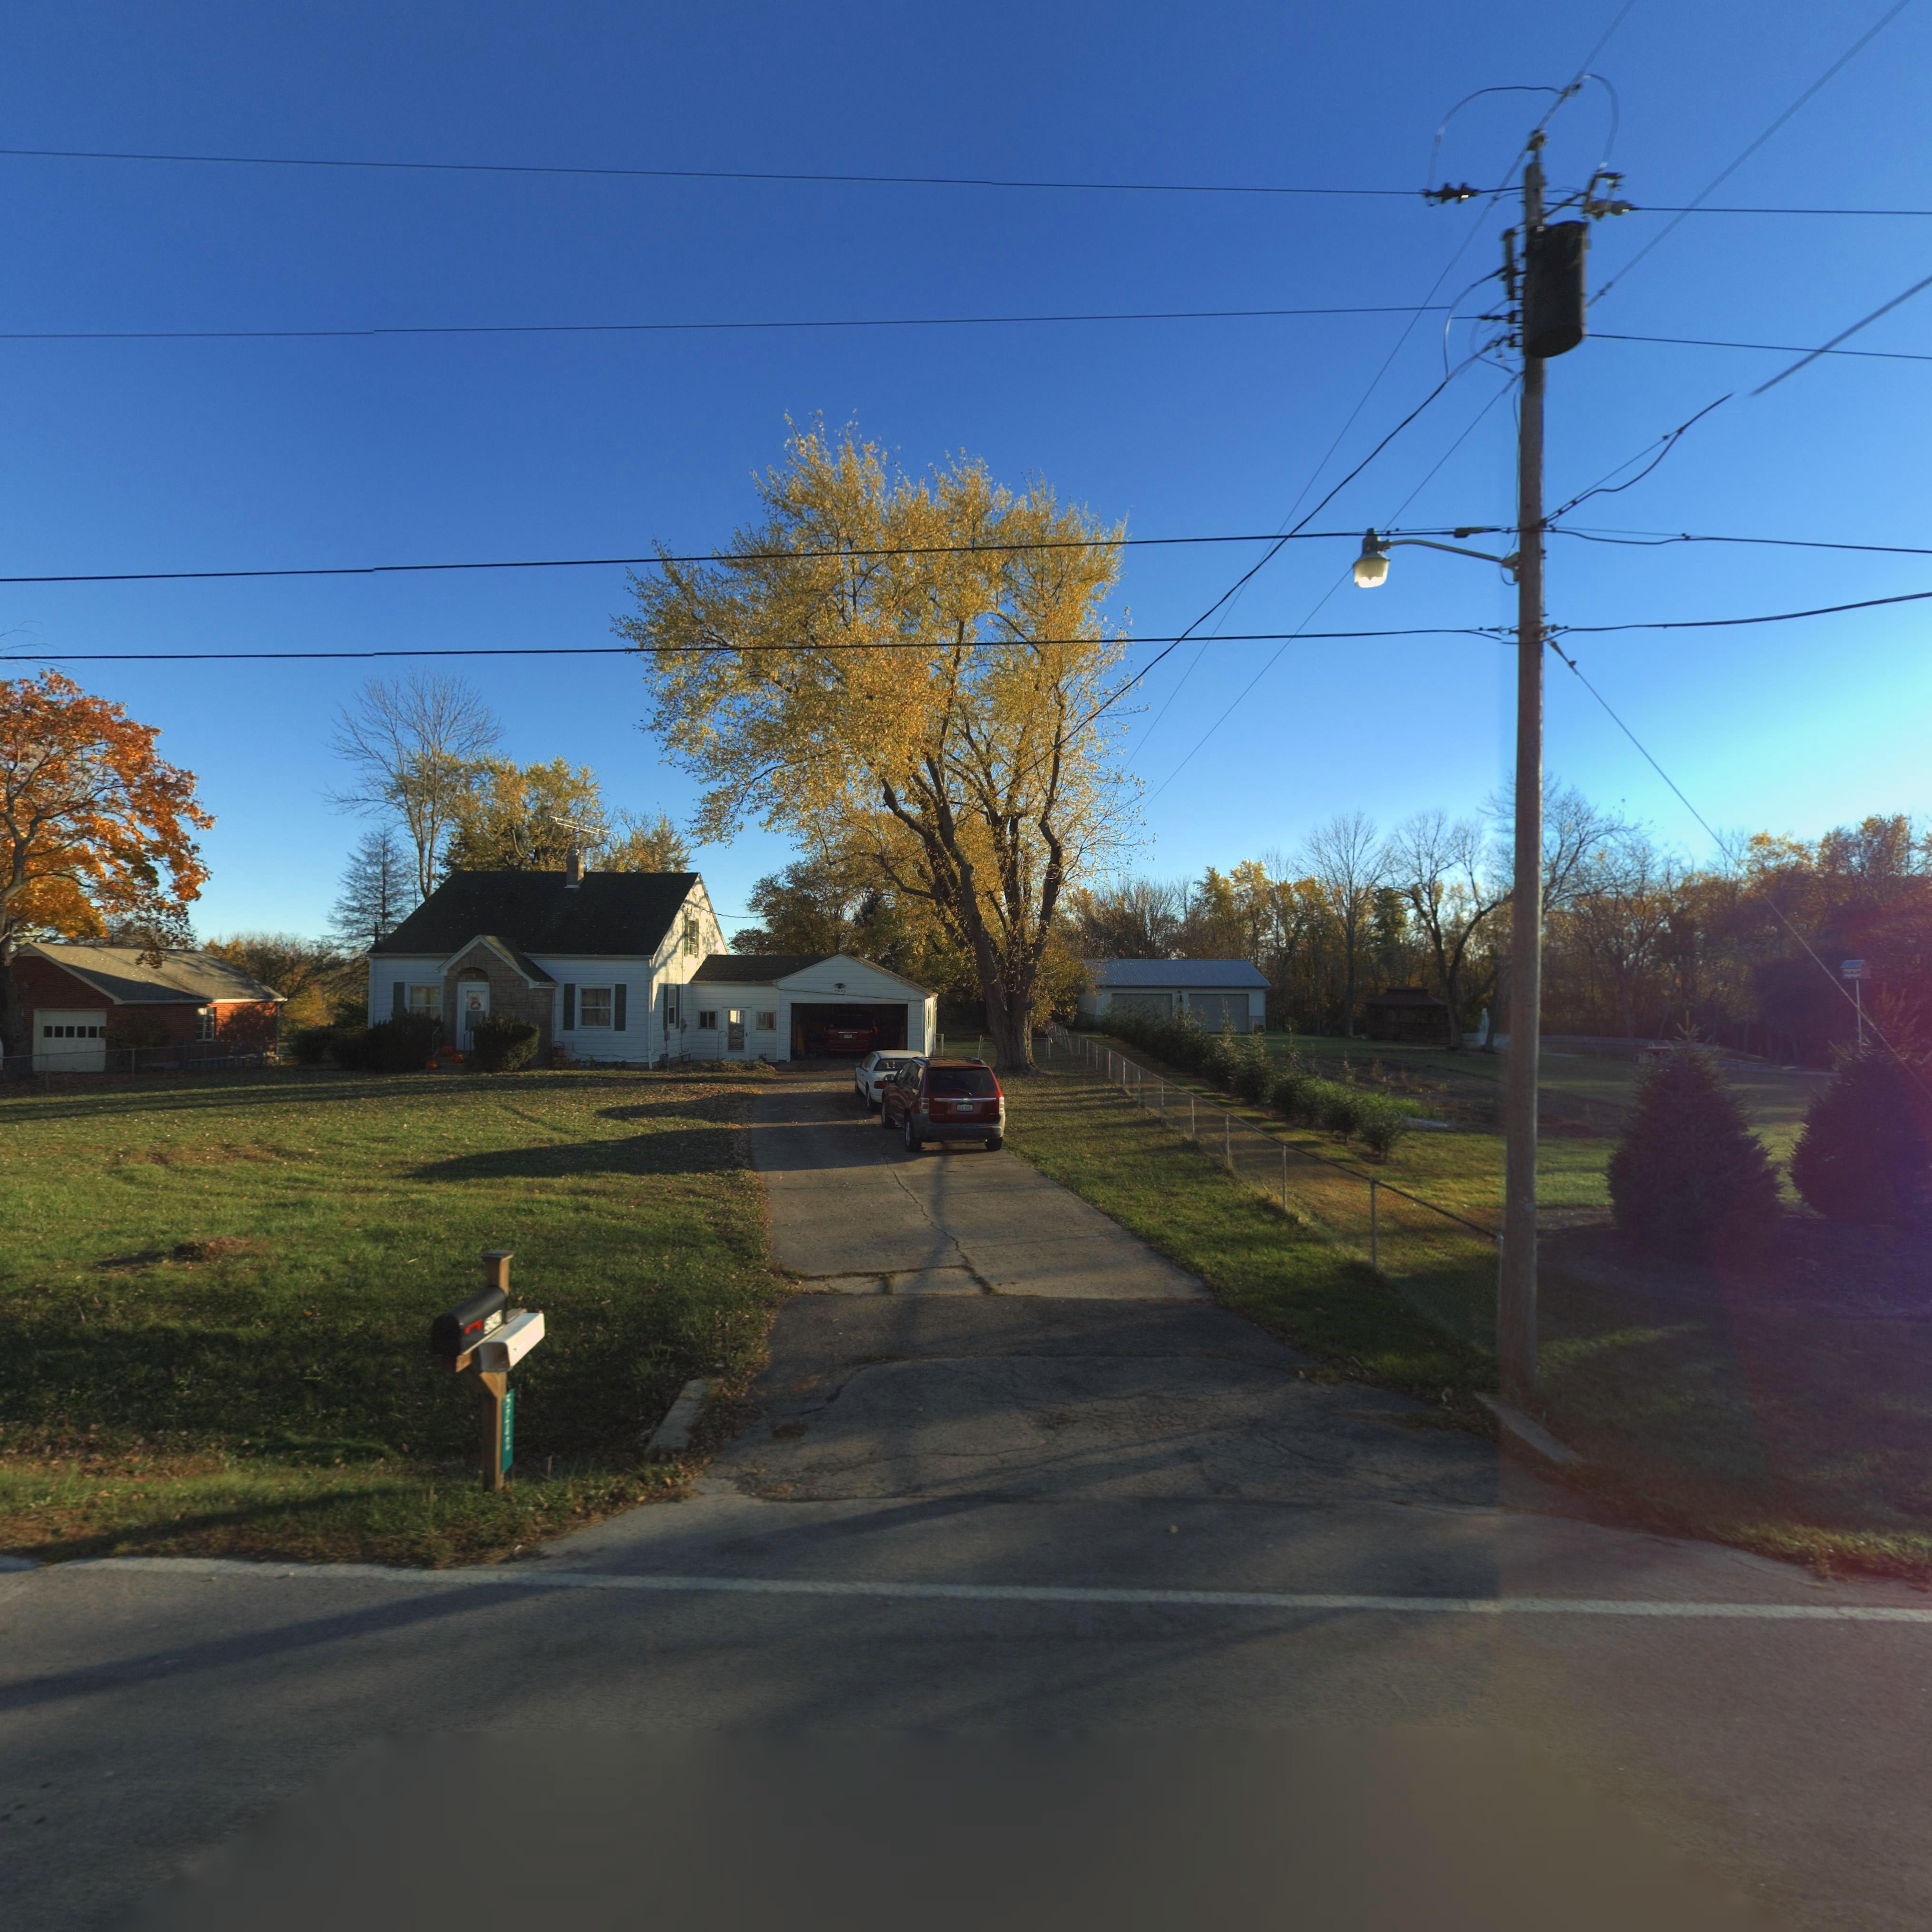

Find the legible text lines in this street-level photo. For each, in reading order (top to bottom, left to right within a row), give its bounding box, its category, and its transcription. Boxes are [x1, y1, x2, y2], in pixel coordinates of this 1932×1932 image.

[483, 1308, 502, 1334] StreetNumber: 5242
[504, 1391, 512, 1453] StreetNumber: 5242